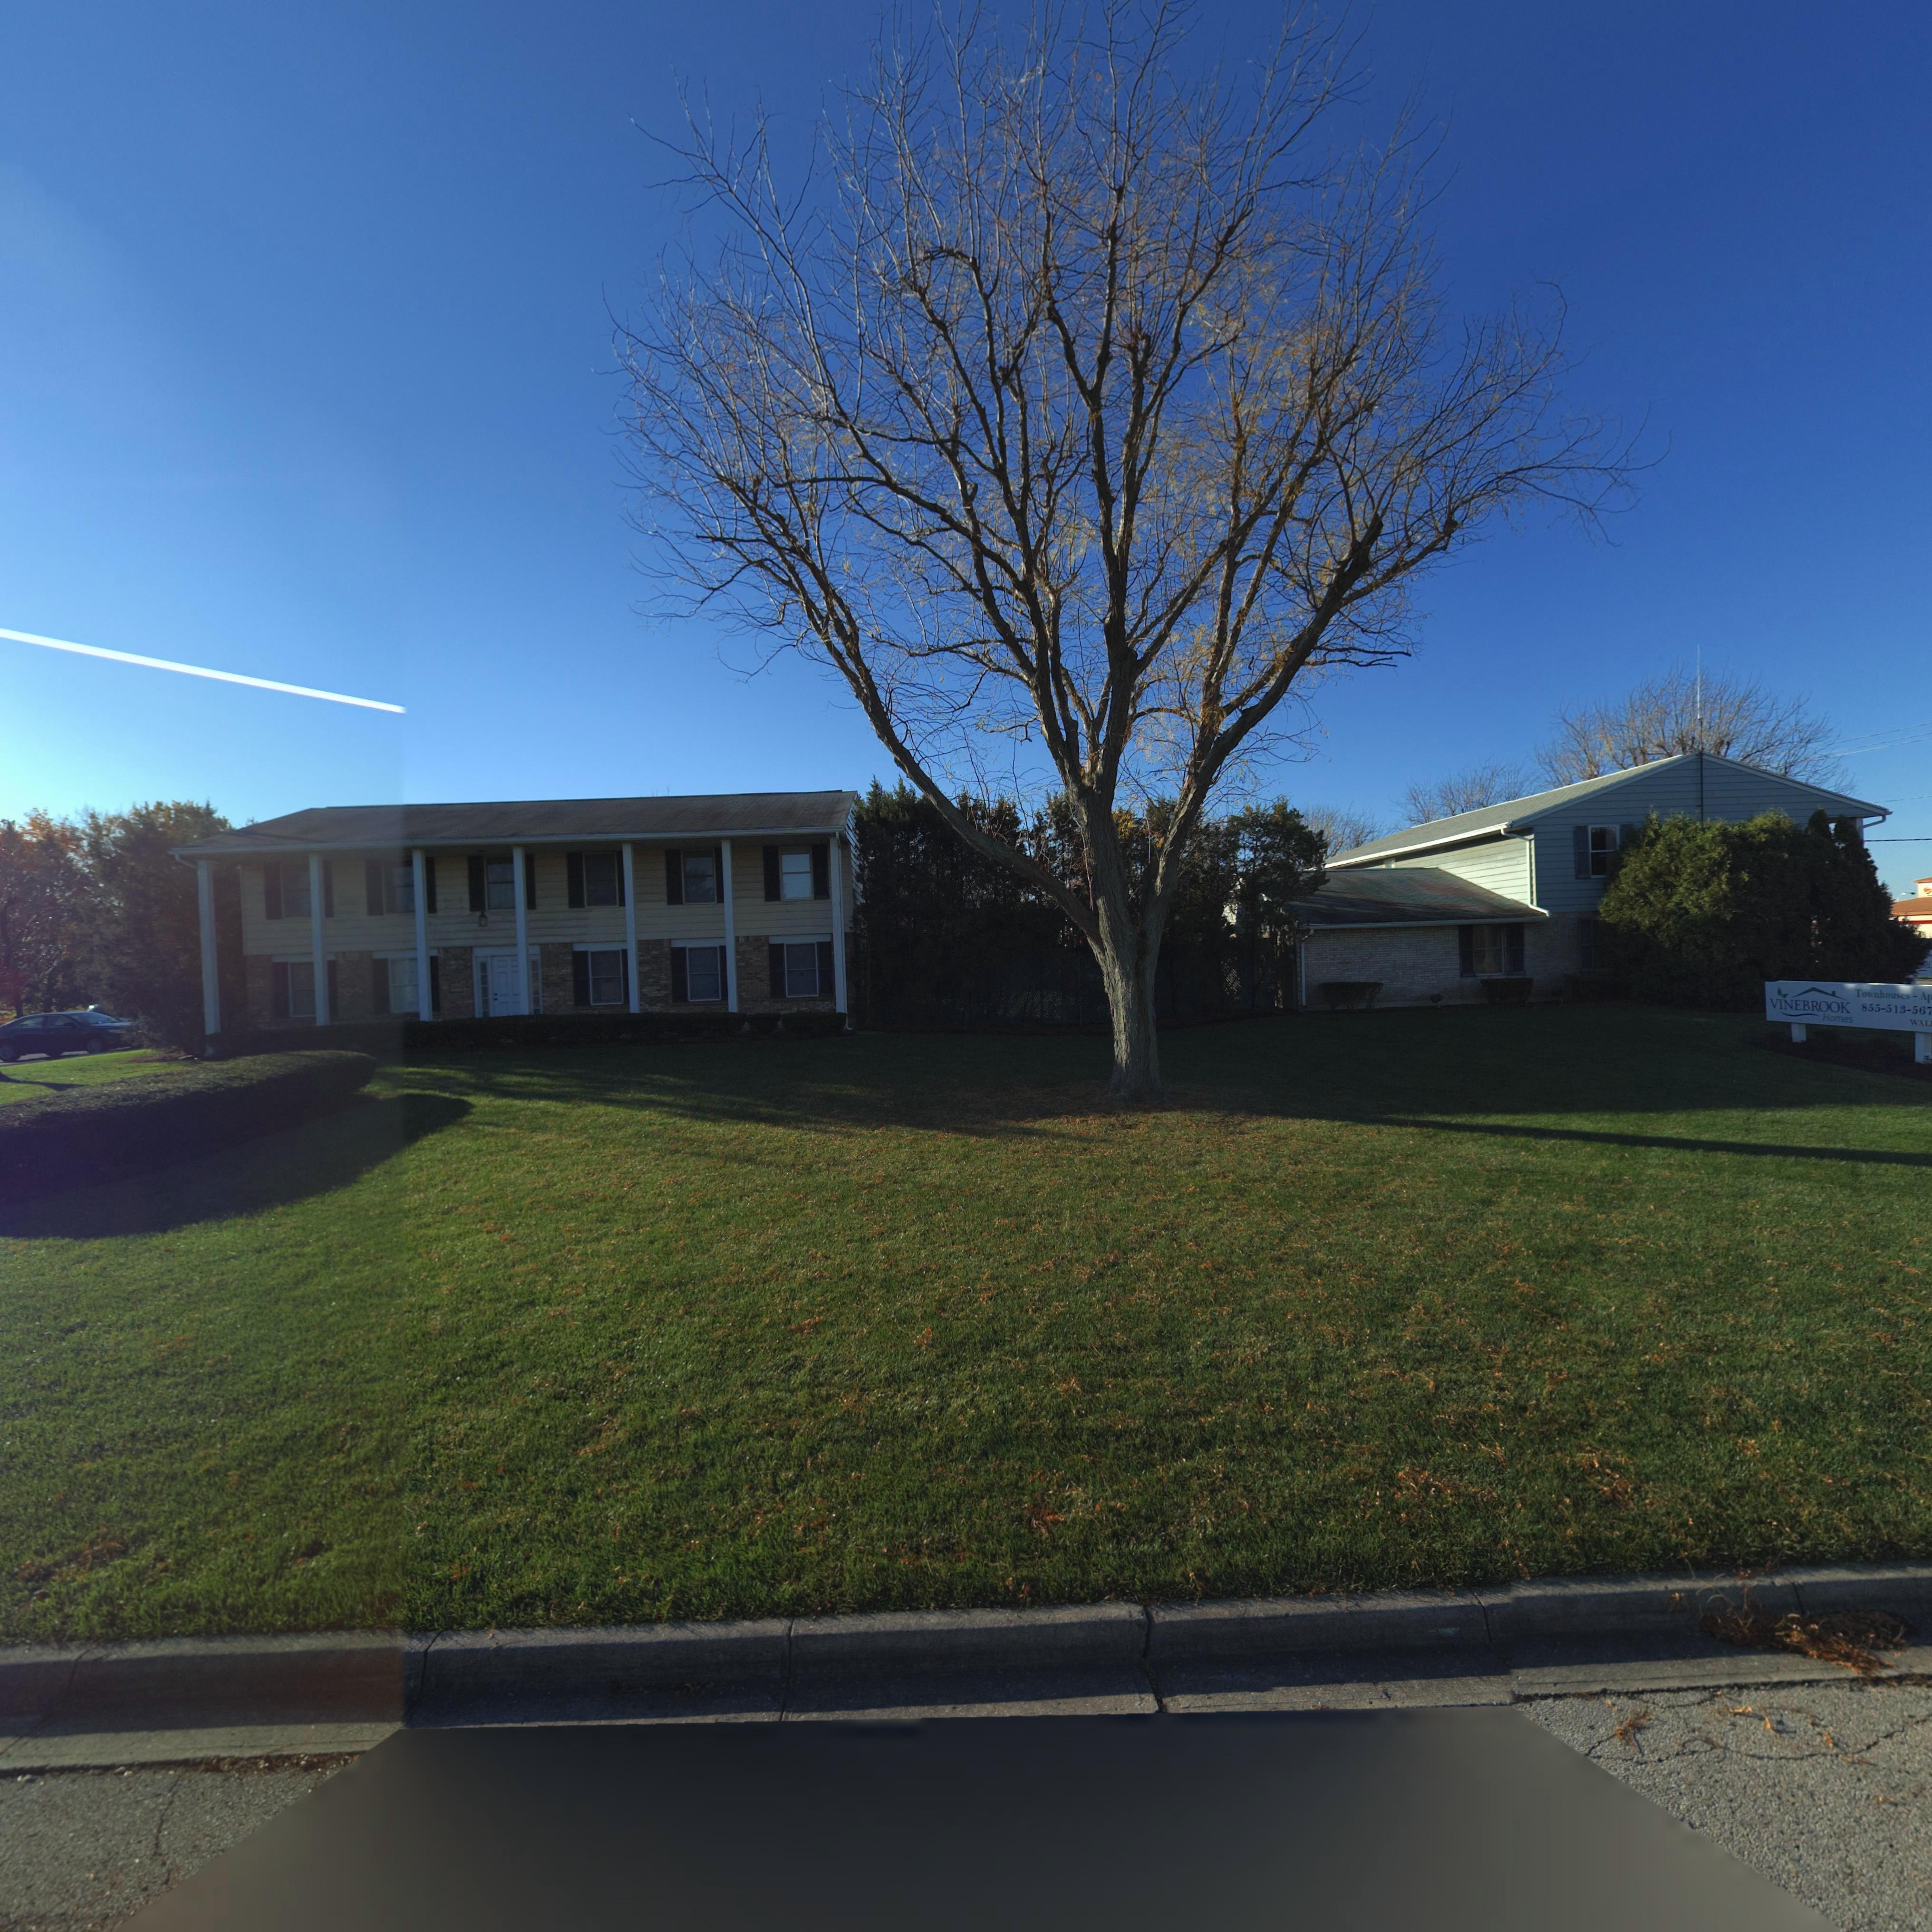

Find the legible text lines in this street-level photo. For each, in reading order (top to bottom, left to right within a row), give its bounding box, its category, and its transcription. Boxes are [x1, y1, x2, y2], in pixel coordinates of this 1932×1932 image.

[542, 966, 571, 976] StreetNumber: 5550